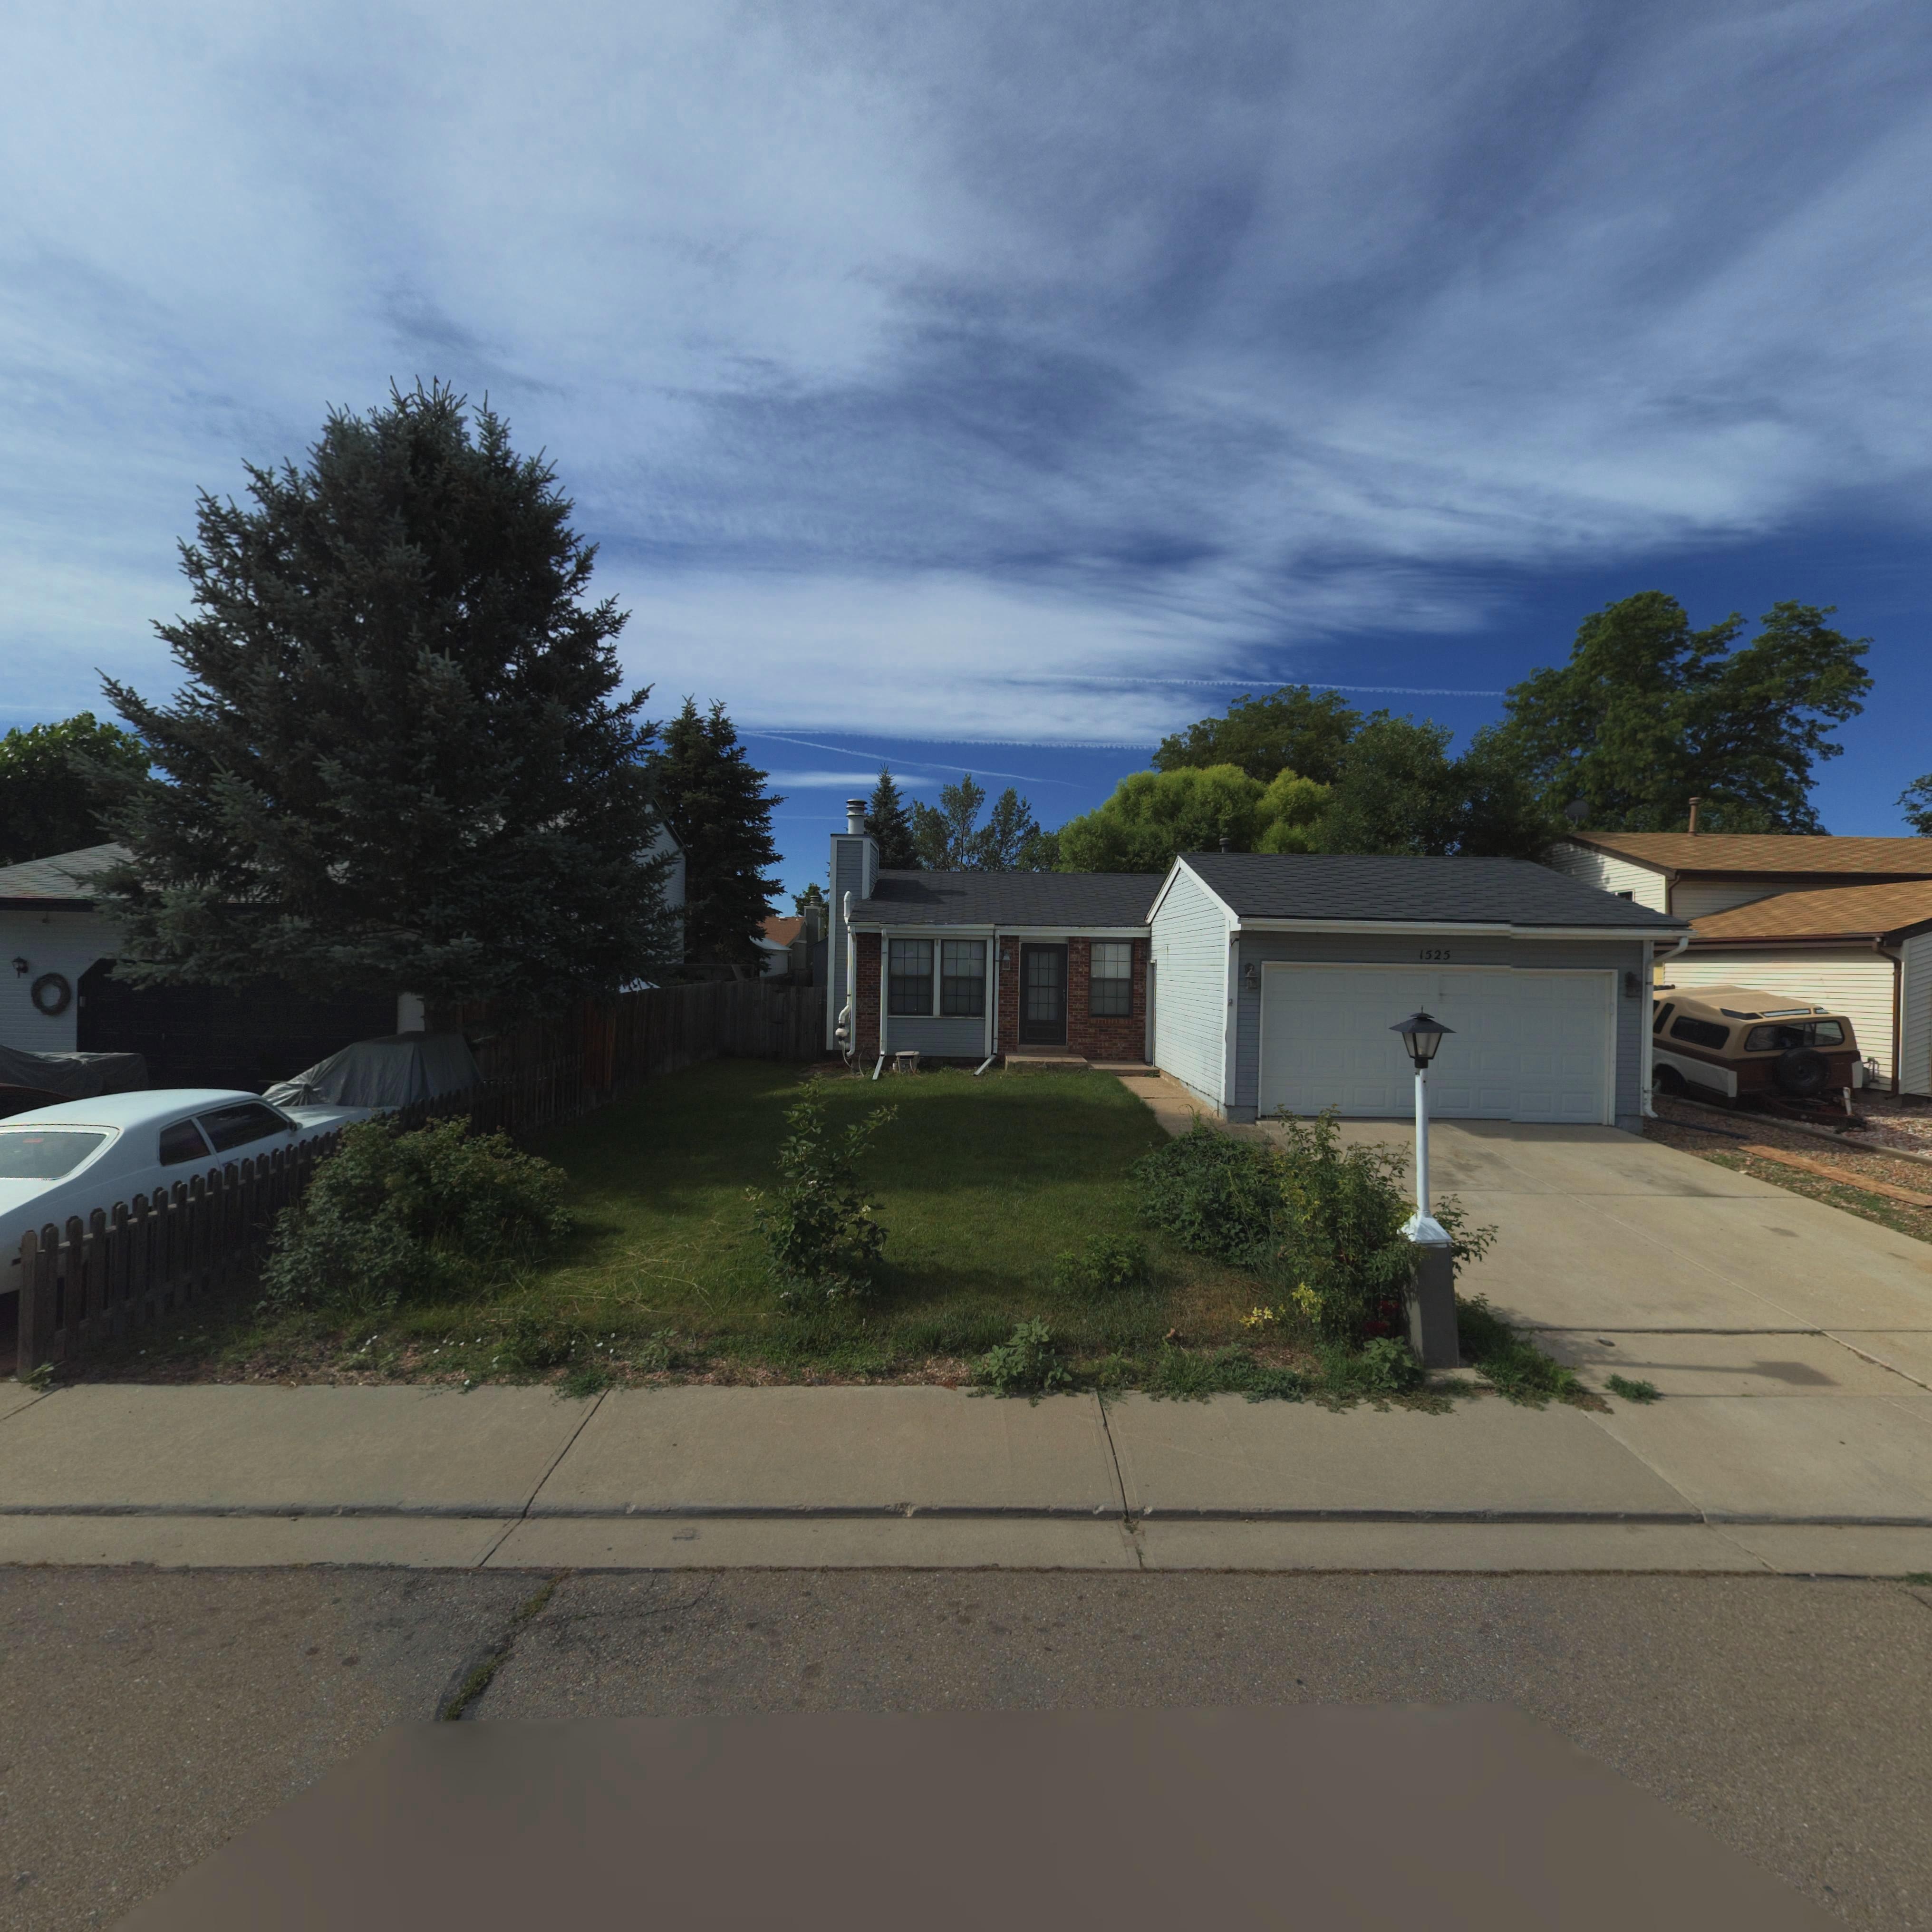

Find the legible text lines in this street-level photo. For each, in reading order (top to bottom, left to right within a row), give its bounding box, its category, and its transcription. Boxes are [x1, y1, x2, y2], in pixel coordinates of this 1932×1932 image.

[1419, 948, 1451, 961] StreetNumber: 1525